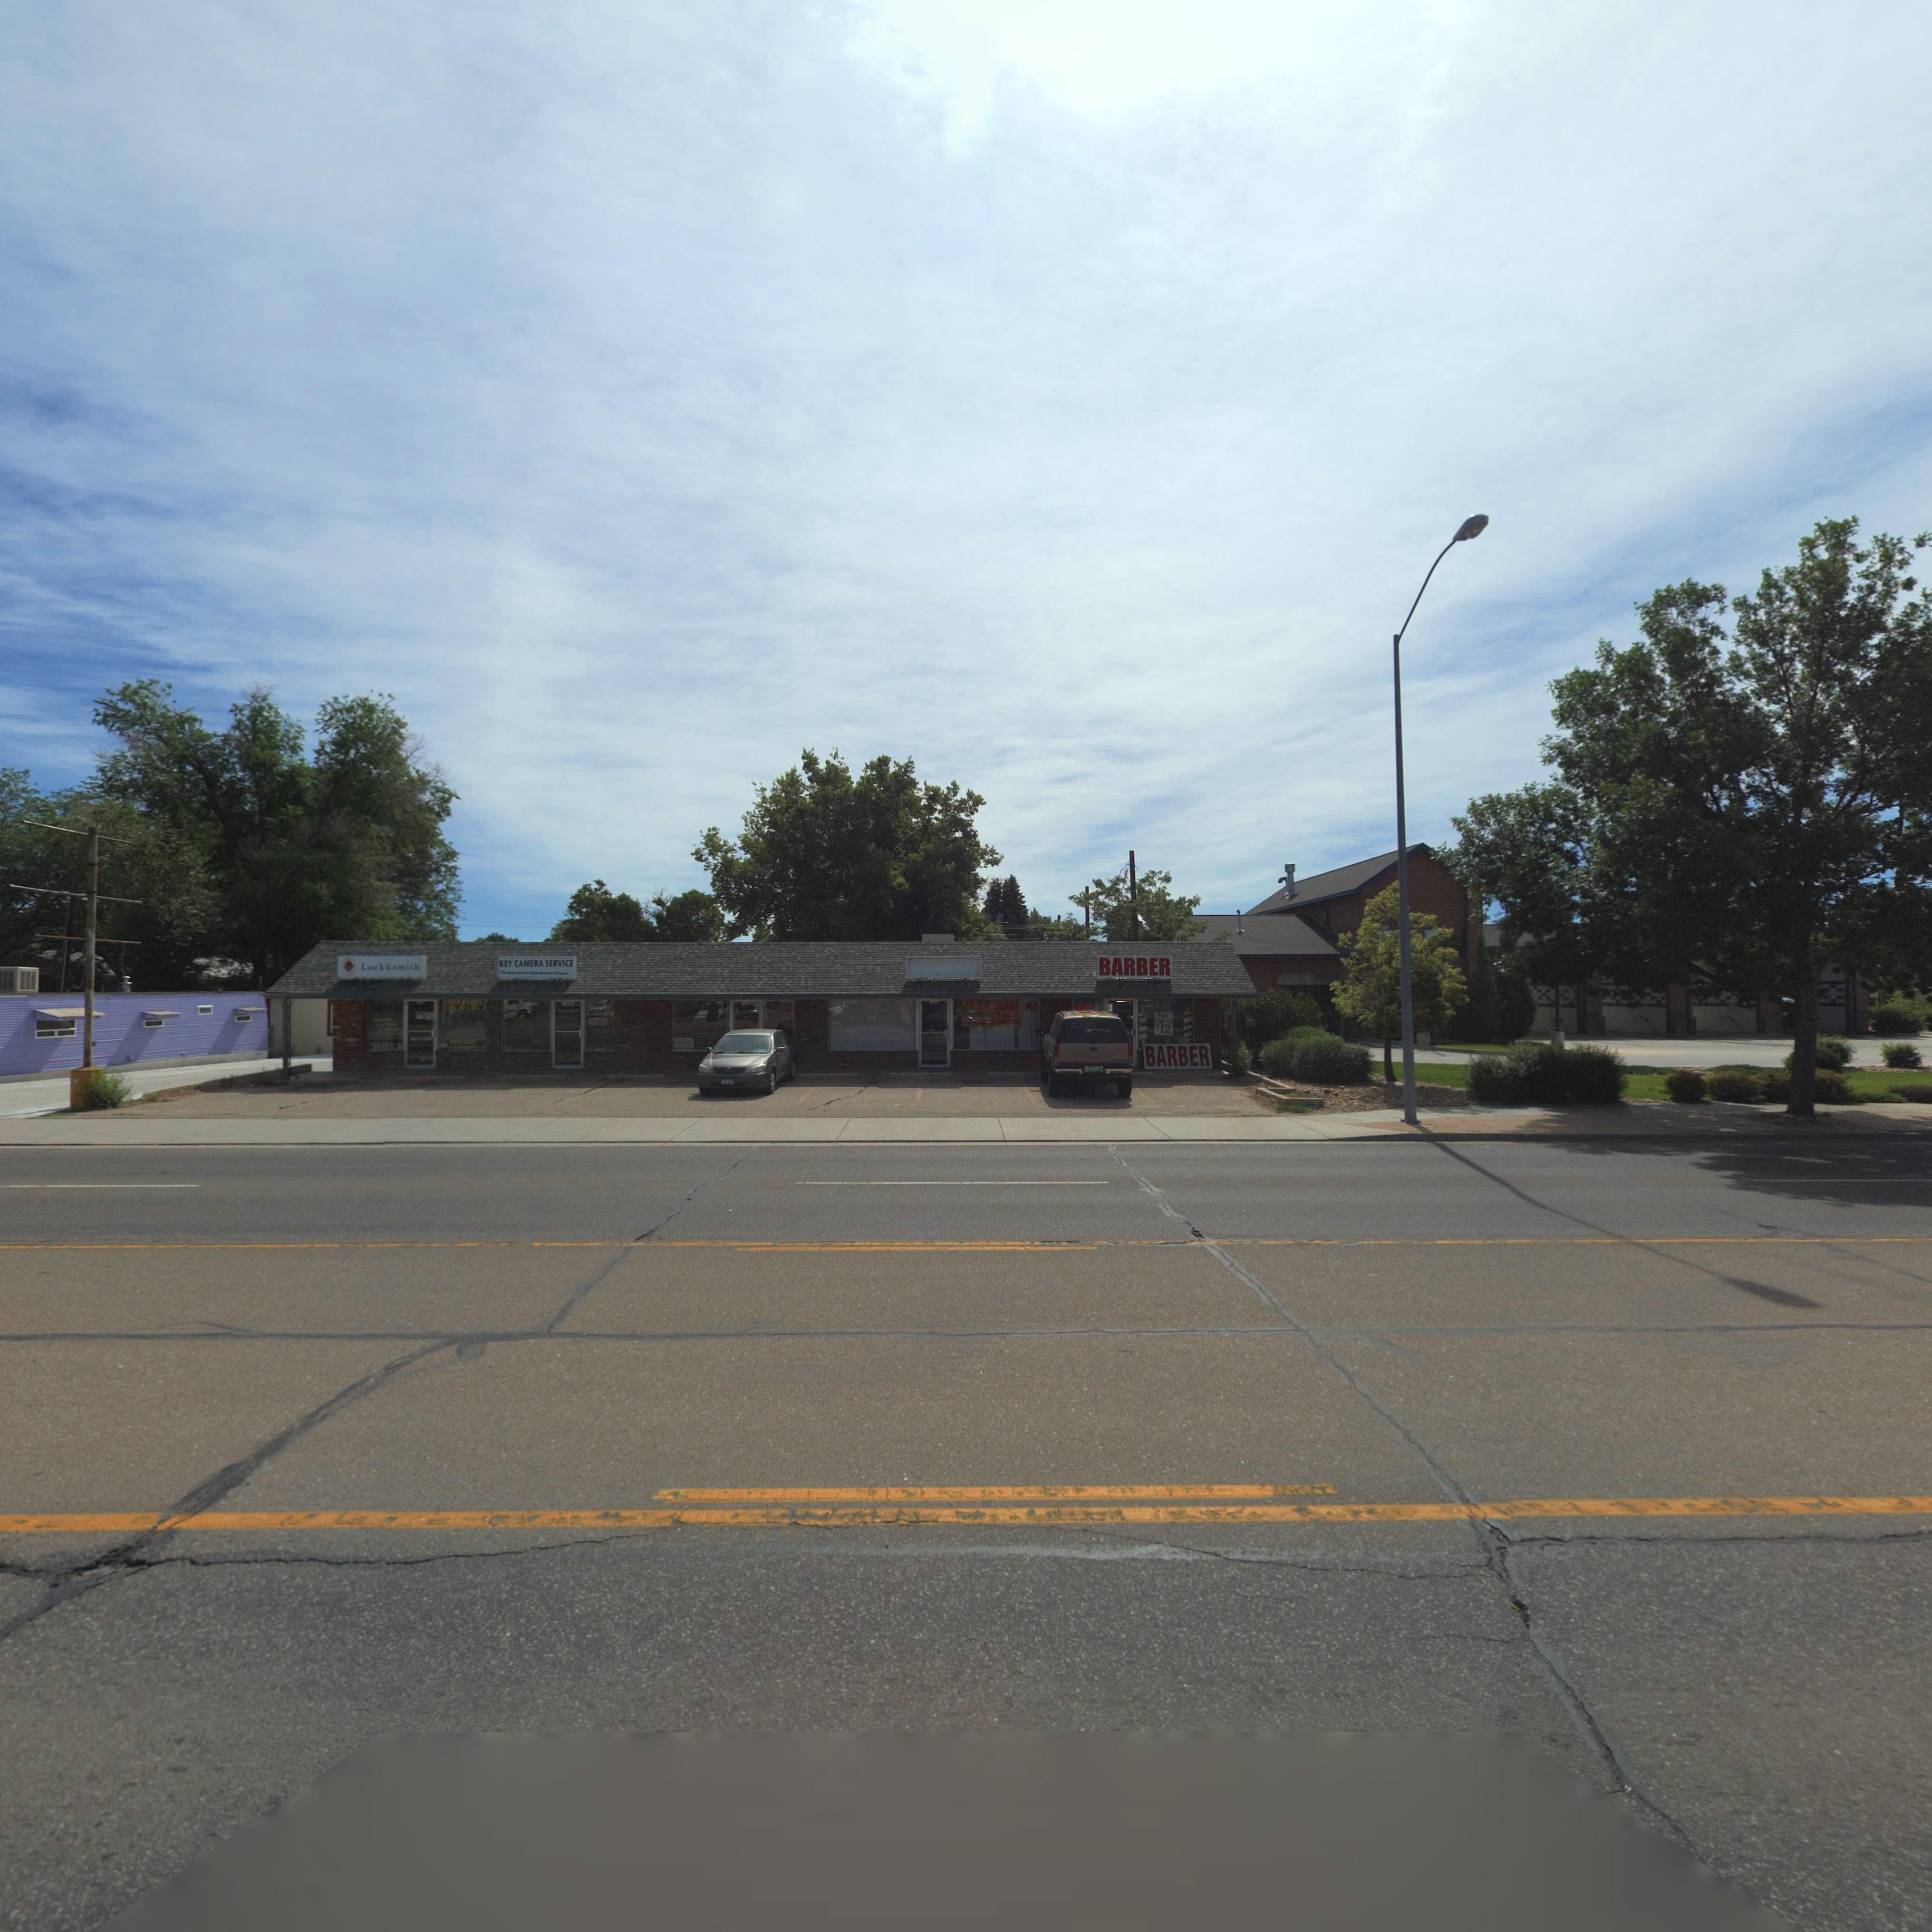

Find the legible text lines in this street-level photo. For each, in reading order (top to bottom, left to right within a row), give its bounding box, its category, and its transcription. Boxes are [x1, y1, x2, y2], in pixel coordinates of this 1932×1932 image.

[499, 959, 573, 967] BusinessName: KEY CAMERA SERVICE